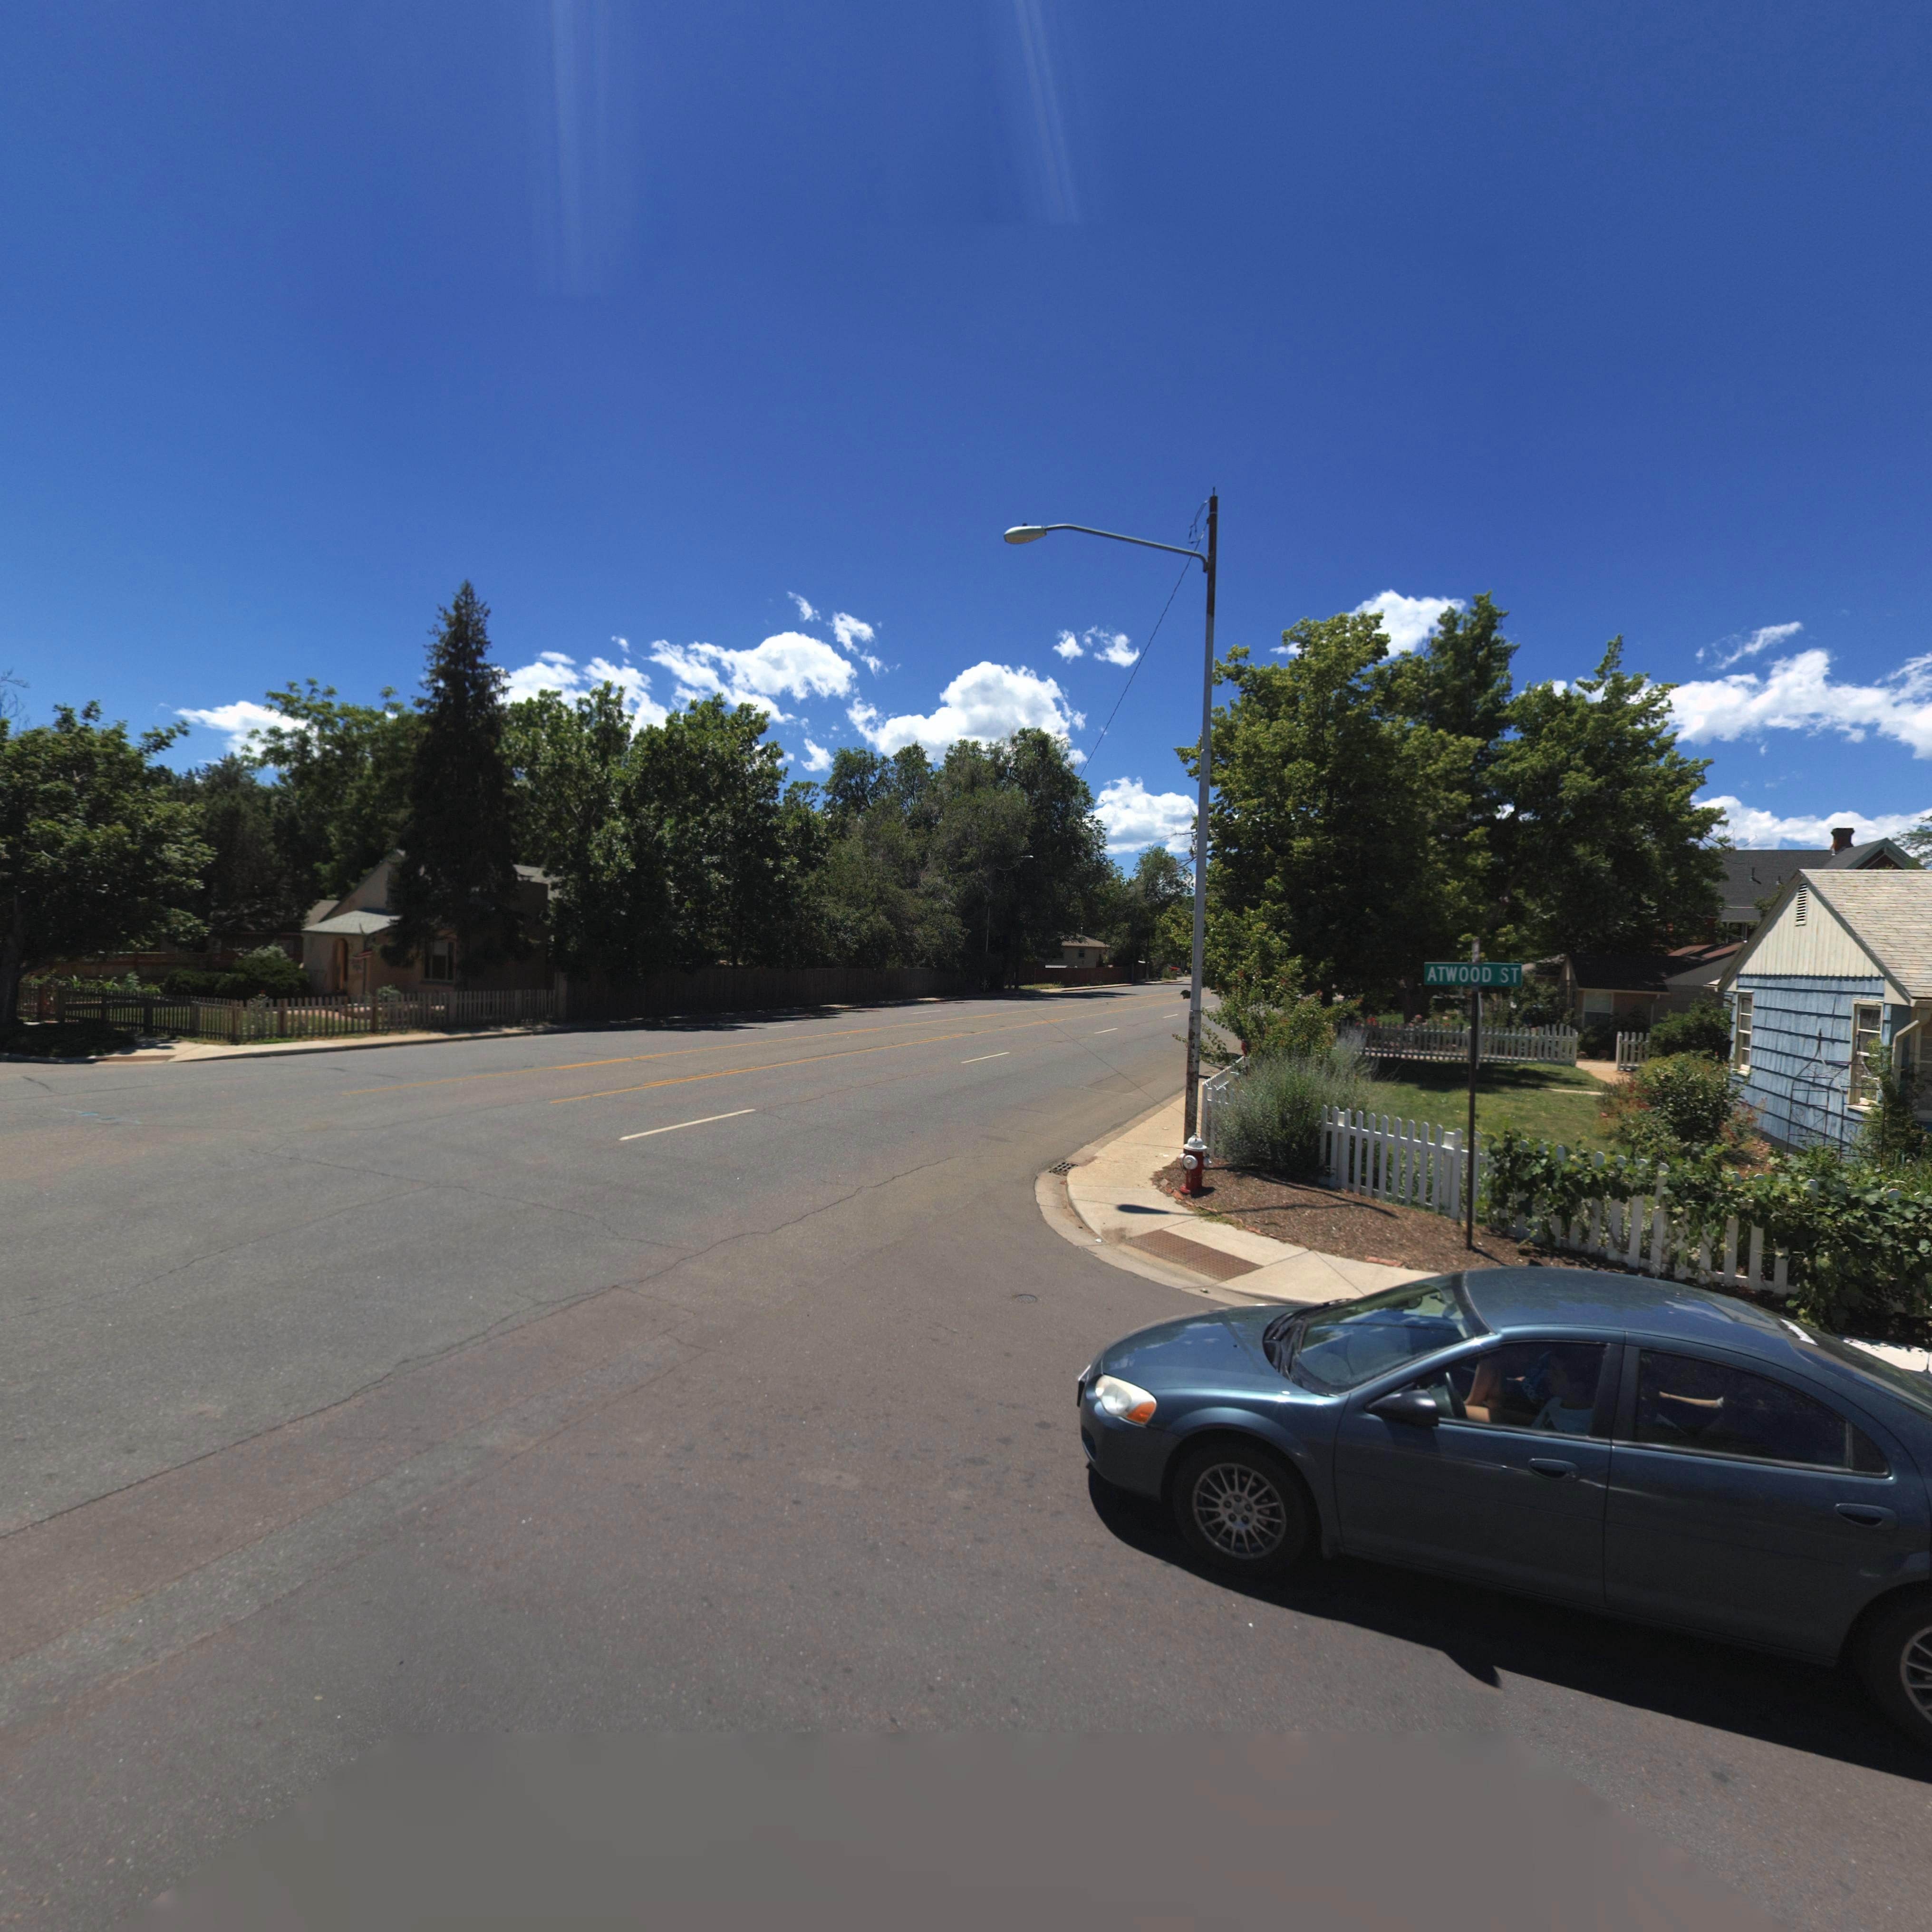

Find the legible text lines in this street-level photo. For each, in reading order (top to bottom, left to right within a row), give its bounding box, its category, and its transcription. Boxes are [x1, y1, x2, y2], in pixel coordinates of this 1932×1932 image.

[1427, 966, 1519, 983] StreetName: ATWOOD ST